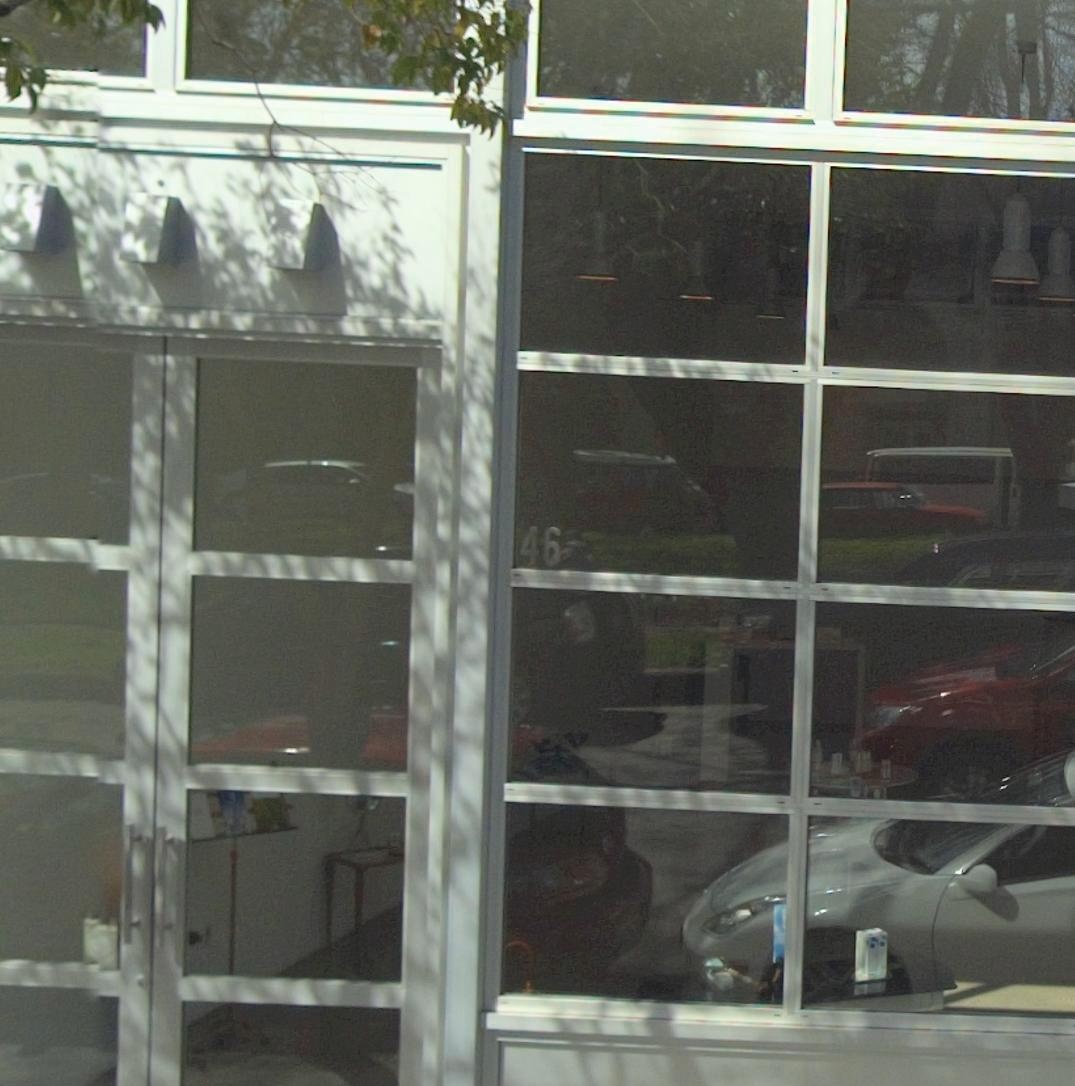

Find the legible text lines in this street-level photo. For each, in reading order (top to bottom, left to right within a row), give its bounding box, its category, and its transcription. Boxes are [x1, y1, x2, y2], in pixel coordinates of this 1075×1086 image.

[511, 516, 567, 580] StreetNumber: 46